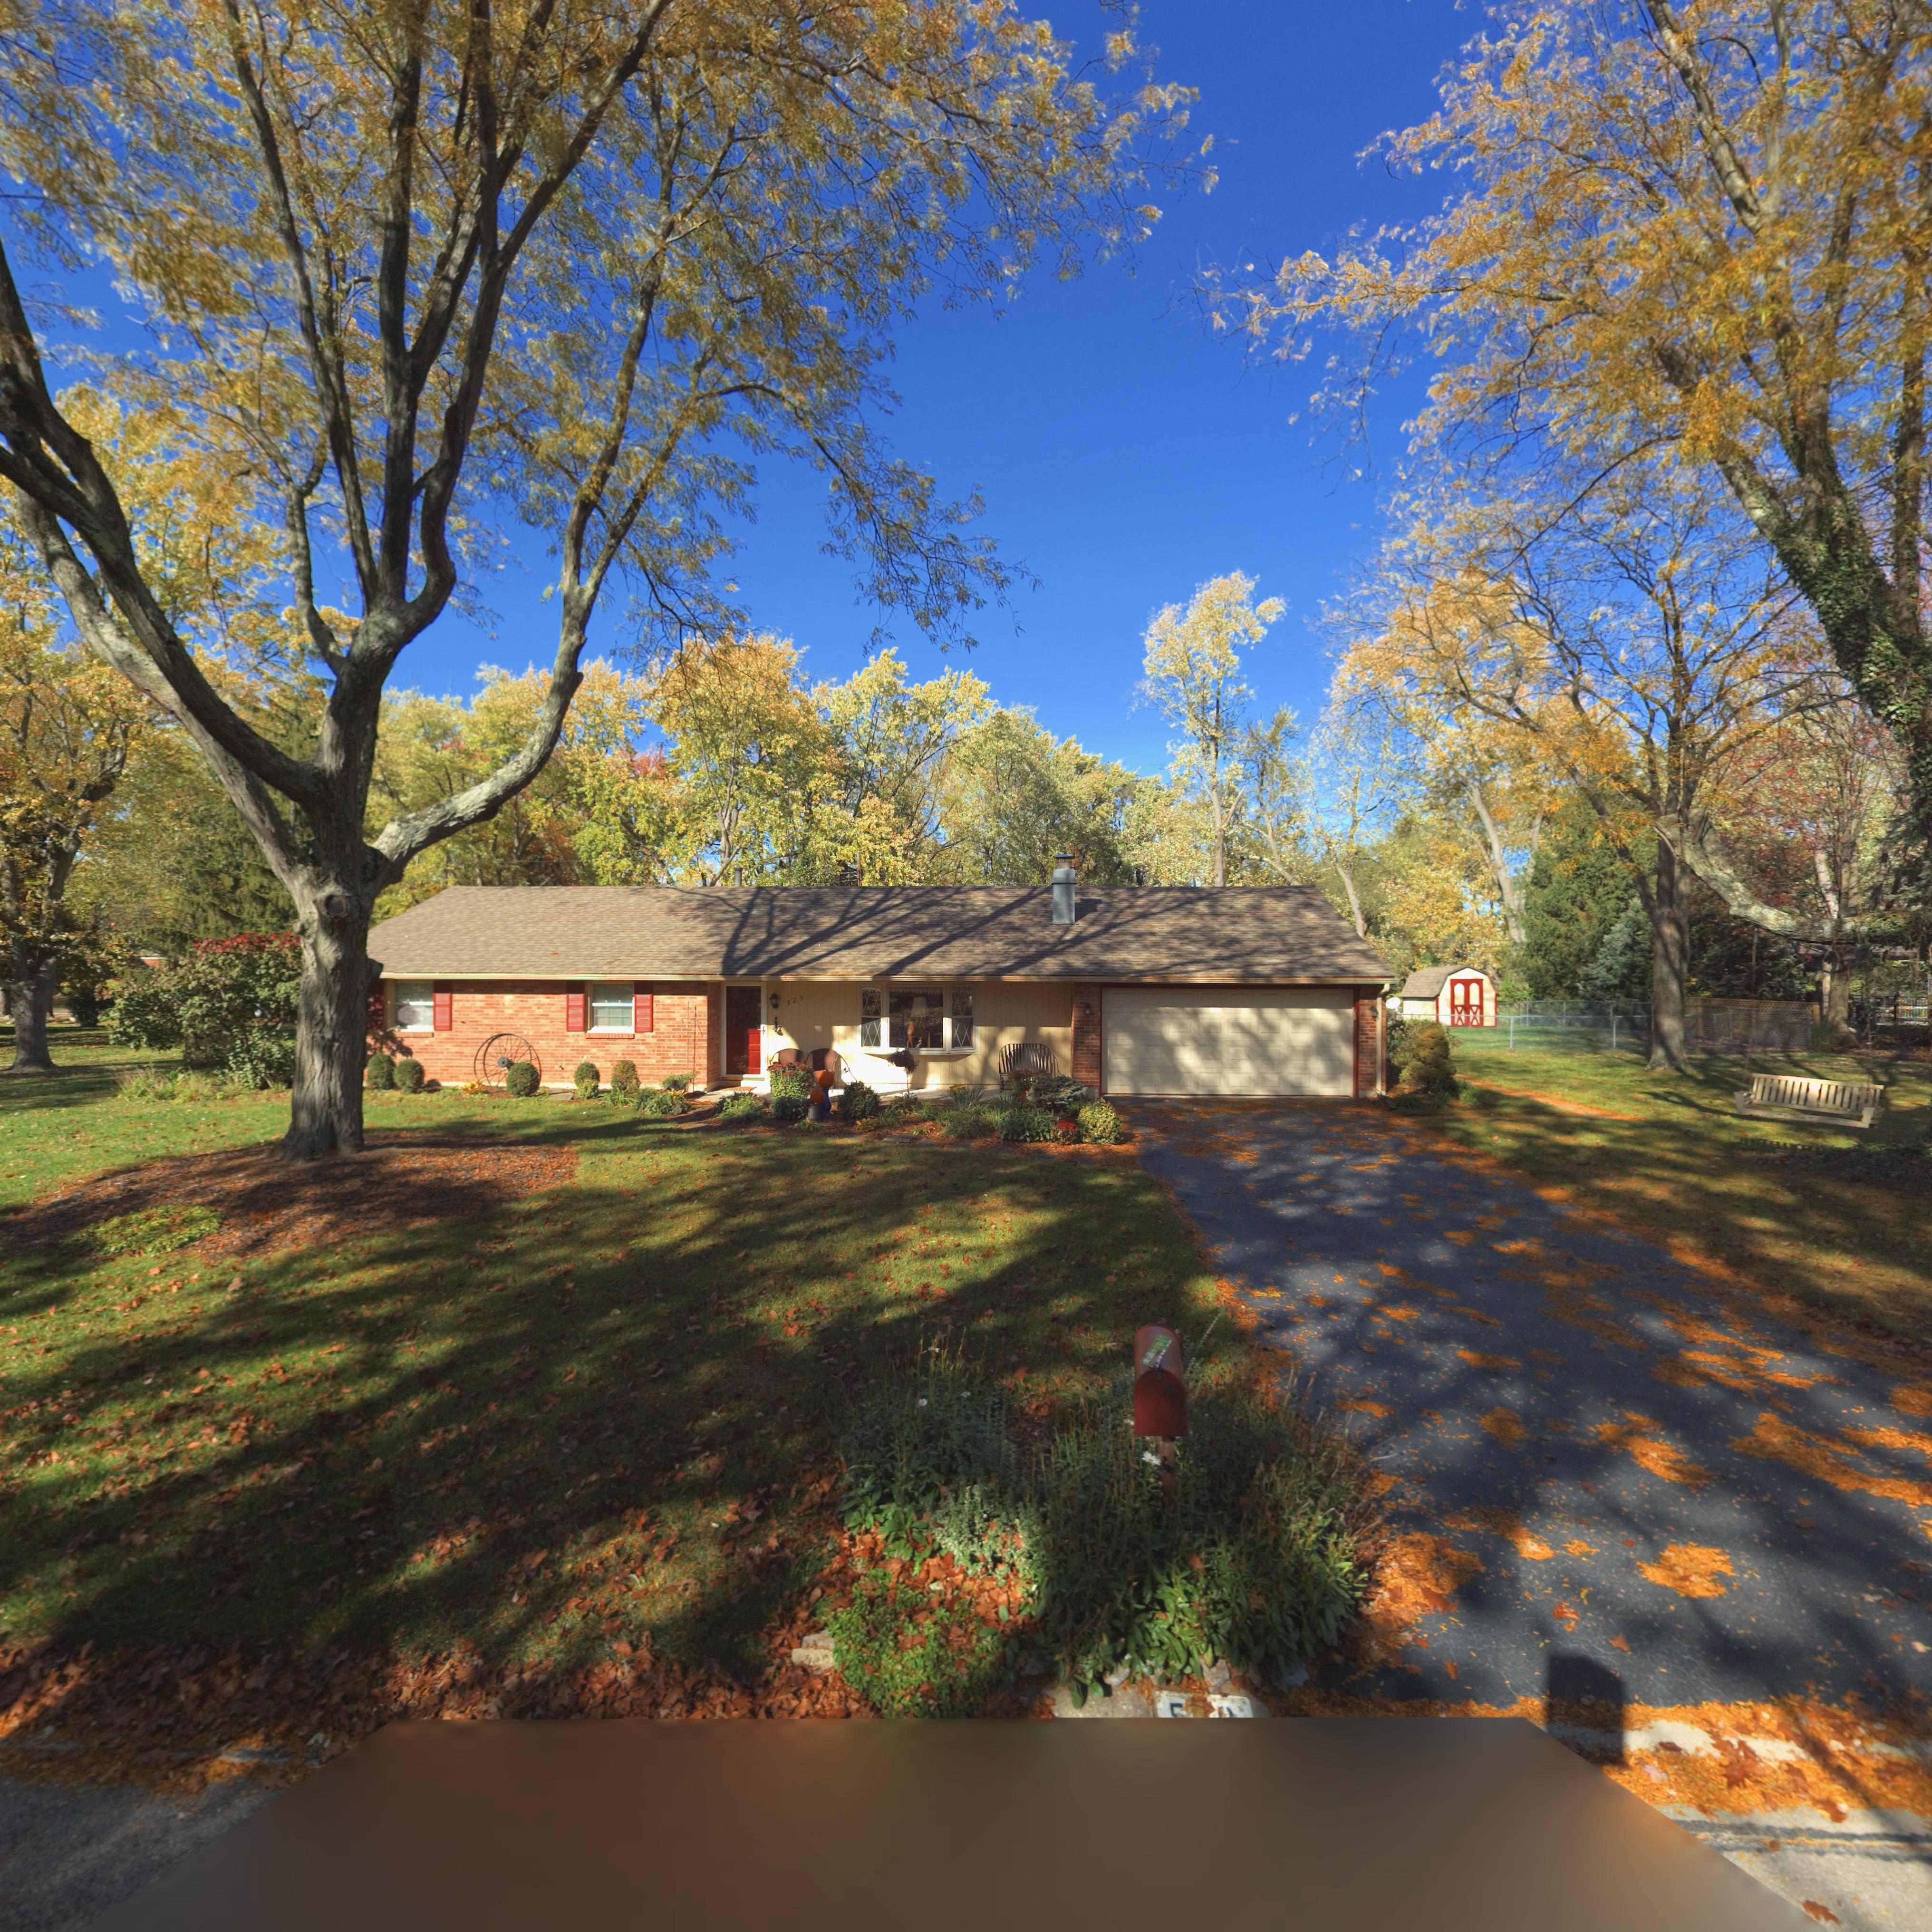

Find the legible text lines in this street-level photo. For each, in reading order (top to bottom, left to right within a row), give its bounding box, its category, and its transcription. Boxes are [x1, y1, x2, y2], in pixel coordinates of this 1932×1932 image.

[787, 995, 804, 1007] StreetNumber: 529